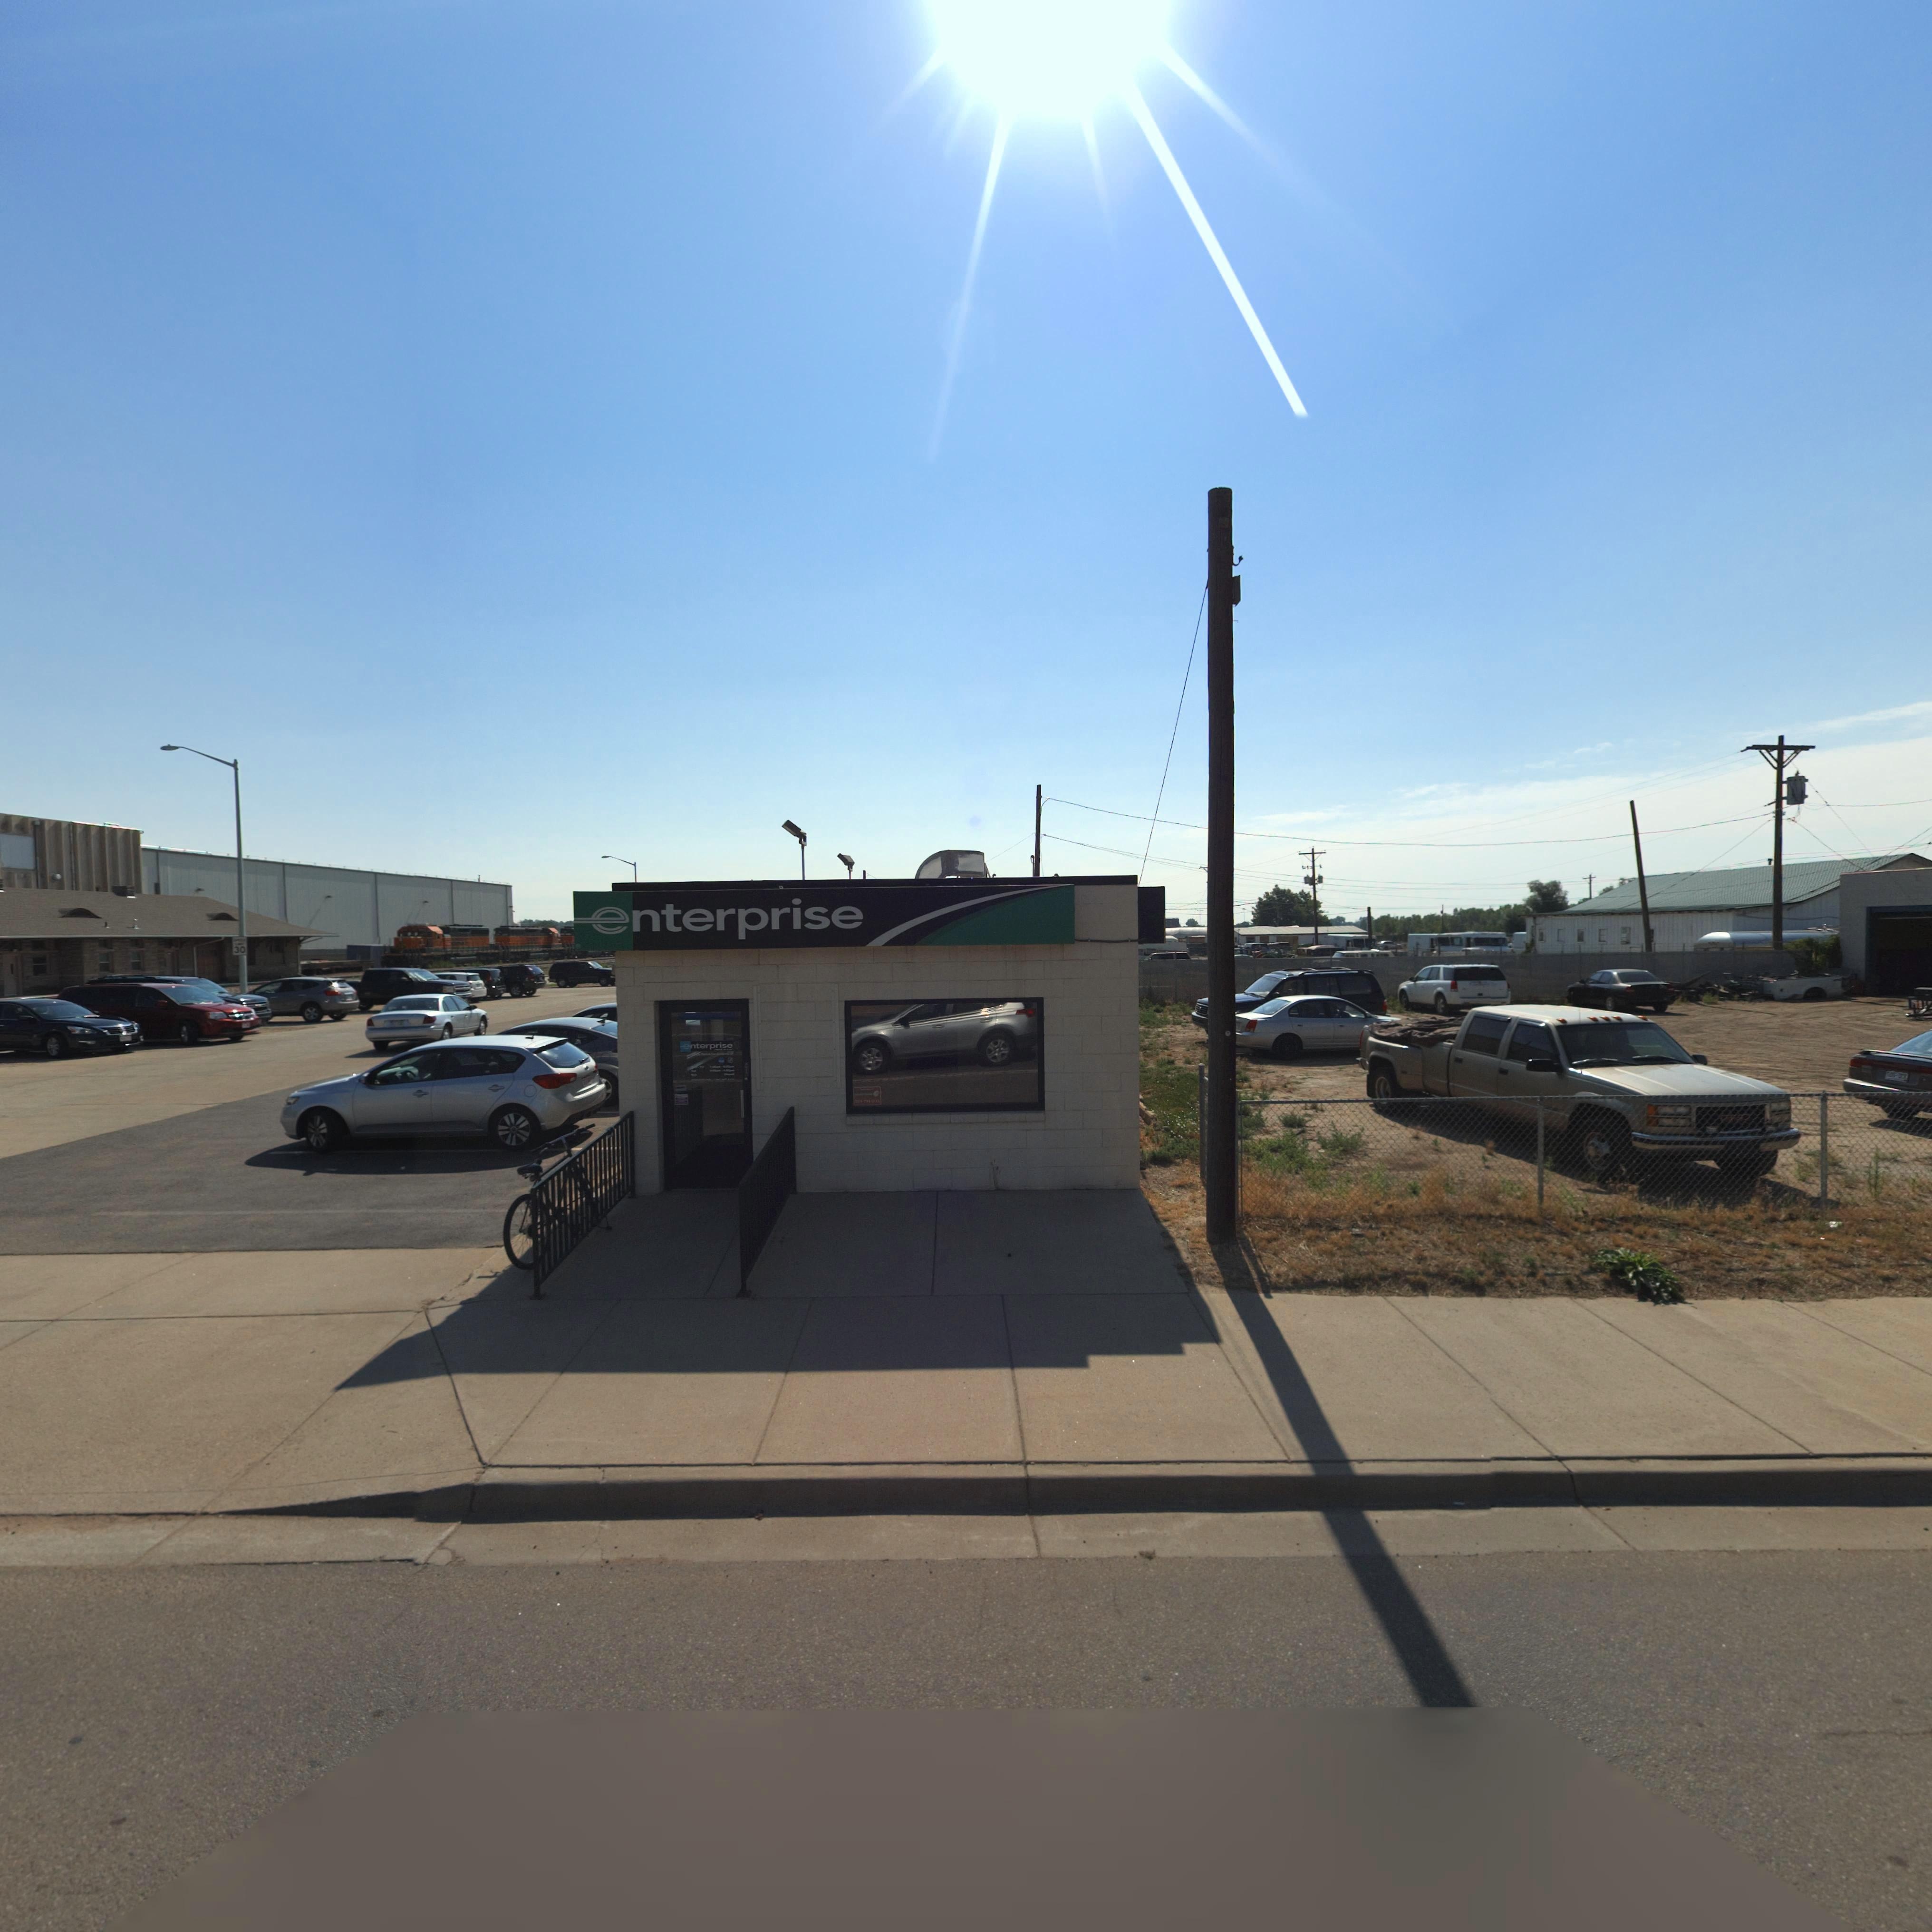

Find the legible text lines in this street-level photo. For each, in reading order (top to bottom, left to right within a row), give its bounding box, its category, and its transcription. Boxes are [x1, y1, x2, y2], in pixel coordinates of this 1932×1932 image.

[571, 897, 864, 942] BusinessName: enterprise
[679, 1042, 733, 1050] BusinessName: enterprise